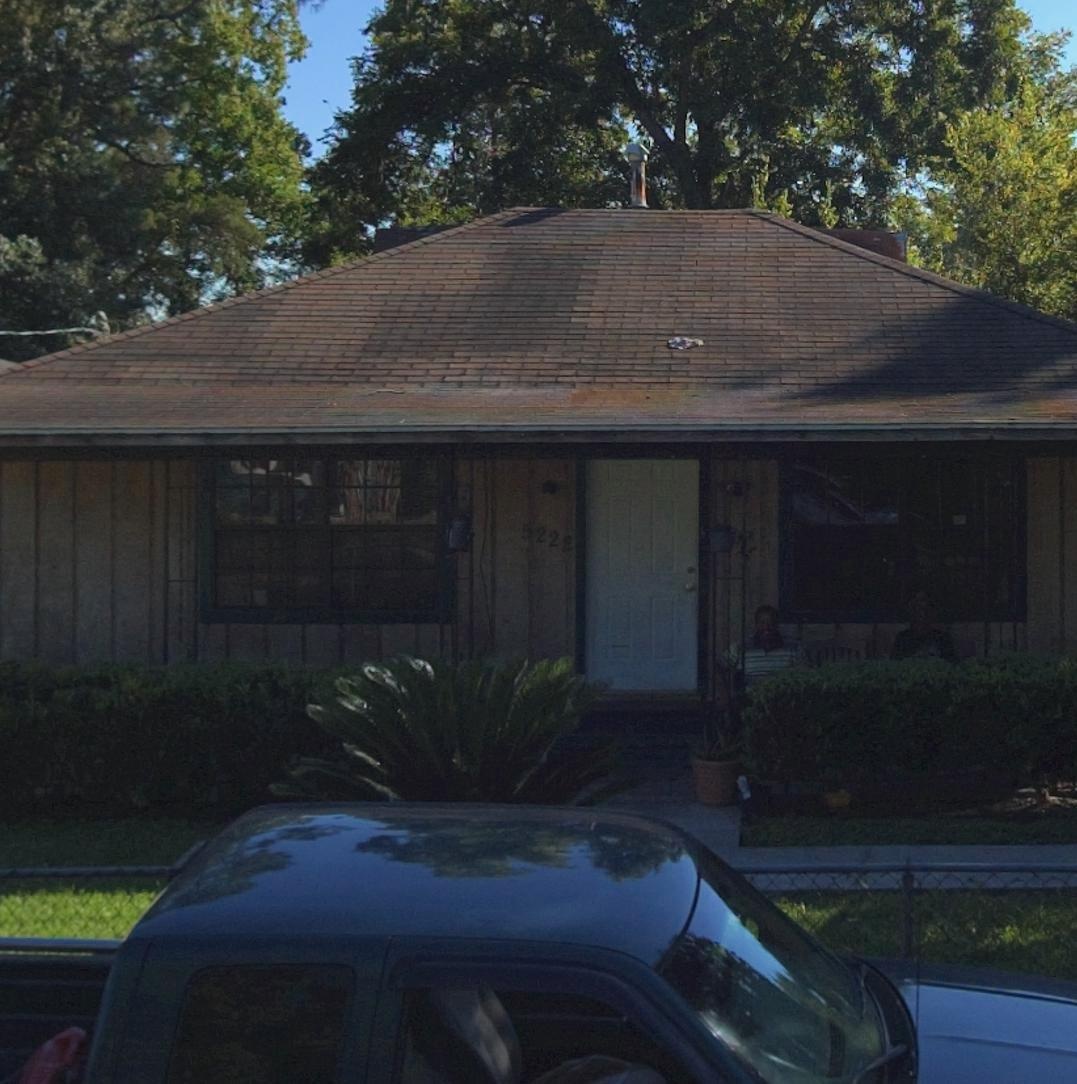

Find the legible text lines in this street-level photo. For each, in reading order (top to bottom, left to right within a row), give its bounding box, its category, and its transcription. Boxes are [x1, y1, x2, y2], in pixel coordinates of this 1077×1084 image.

[519, 519, 576, 557] StreetNumber: 5222